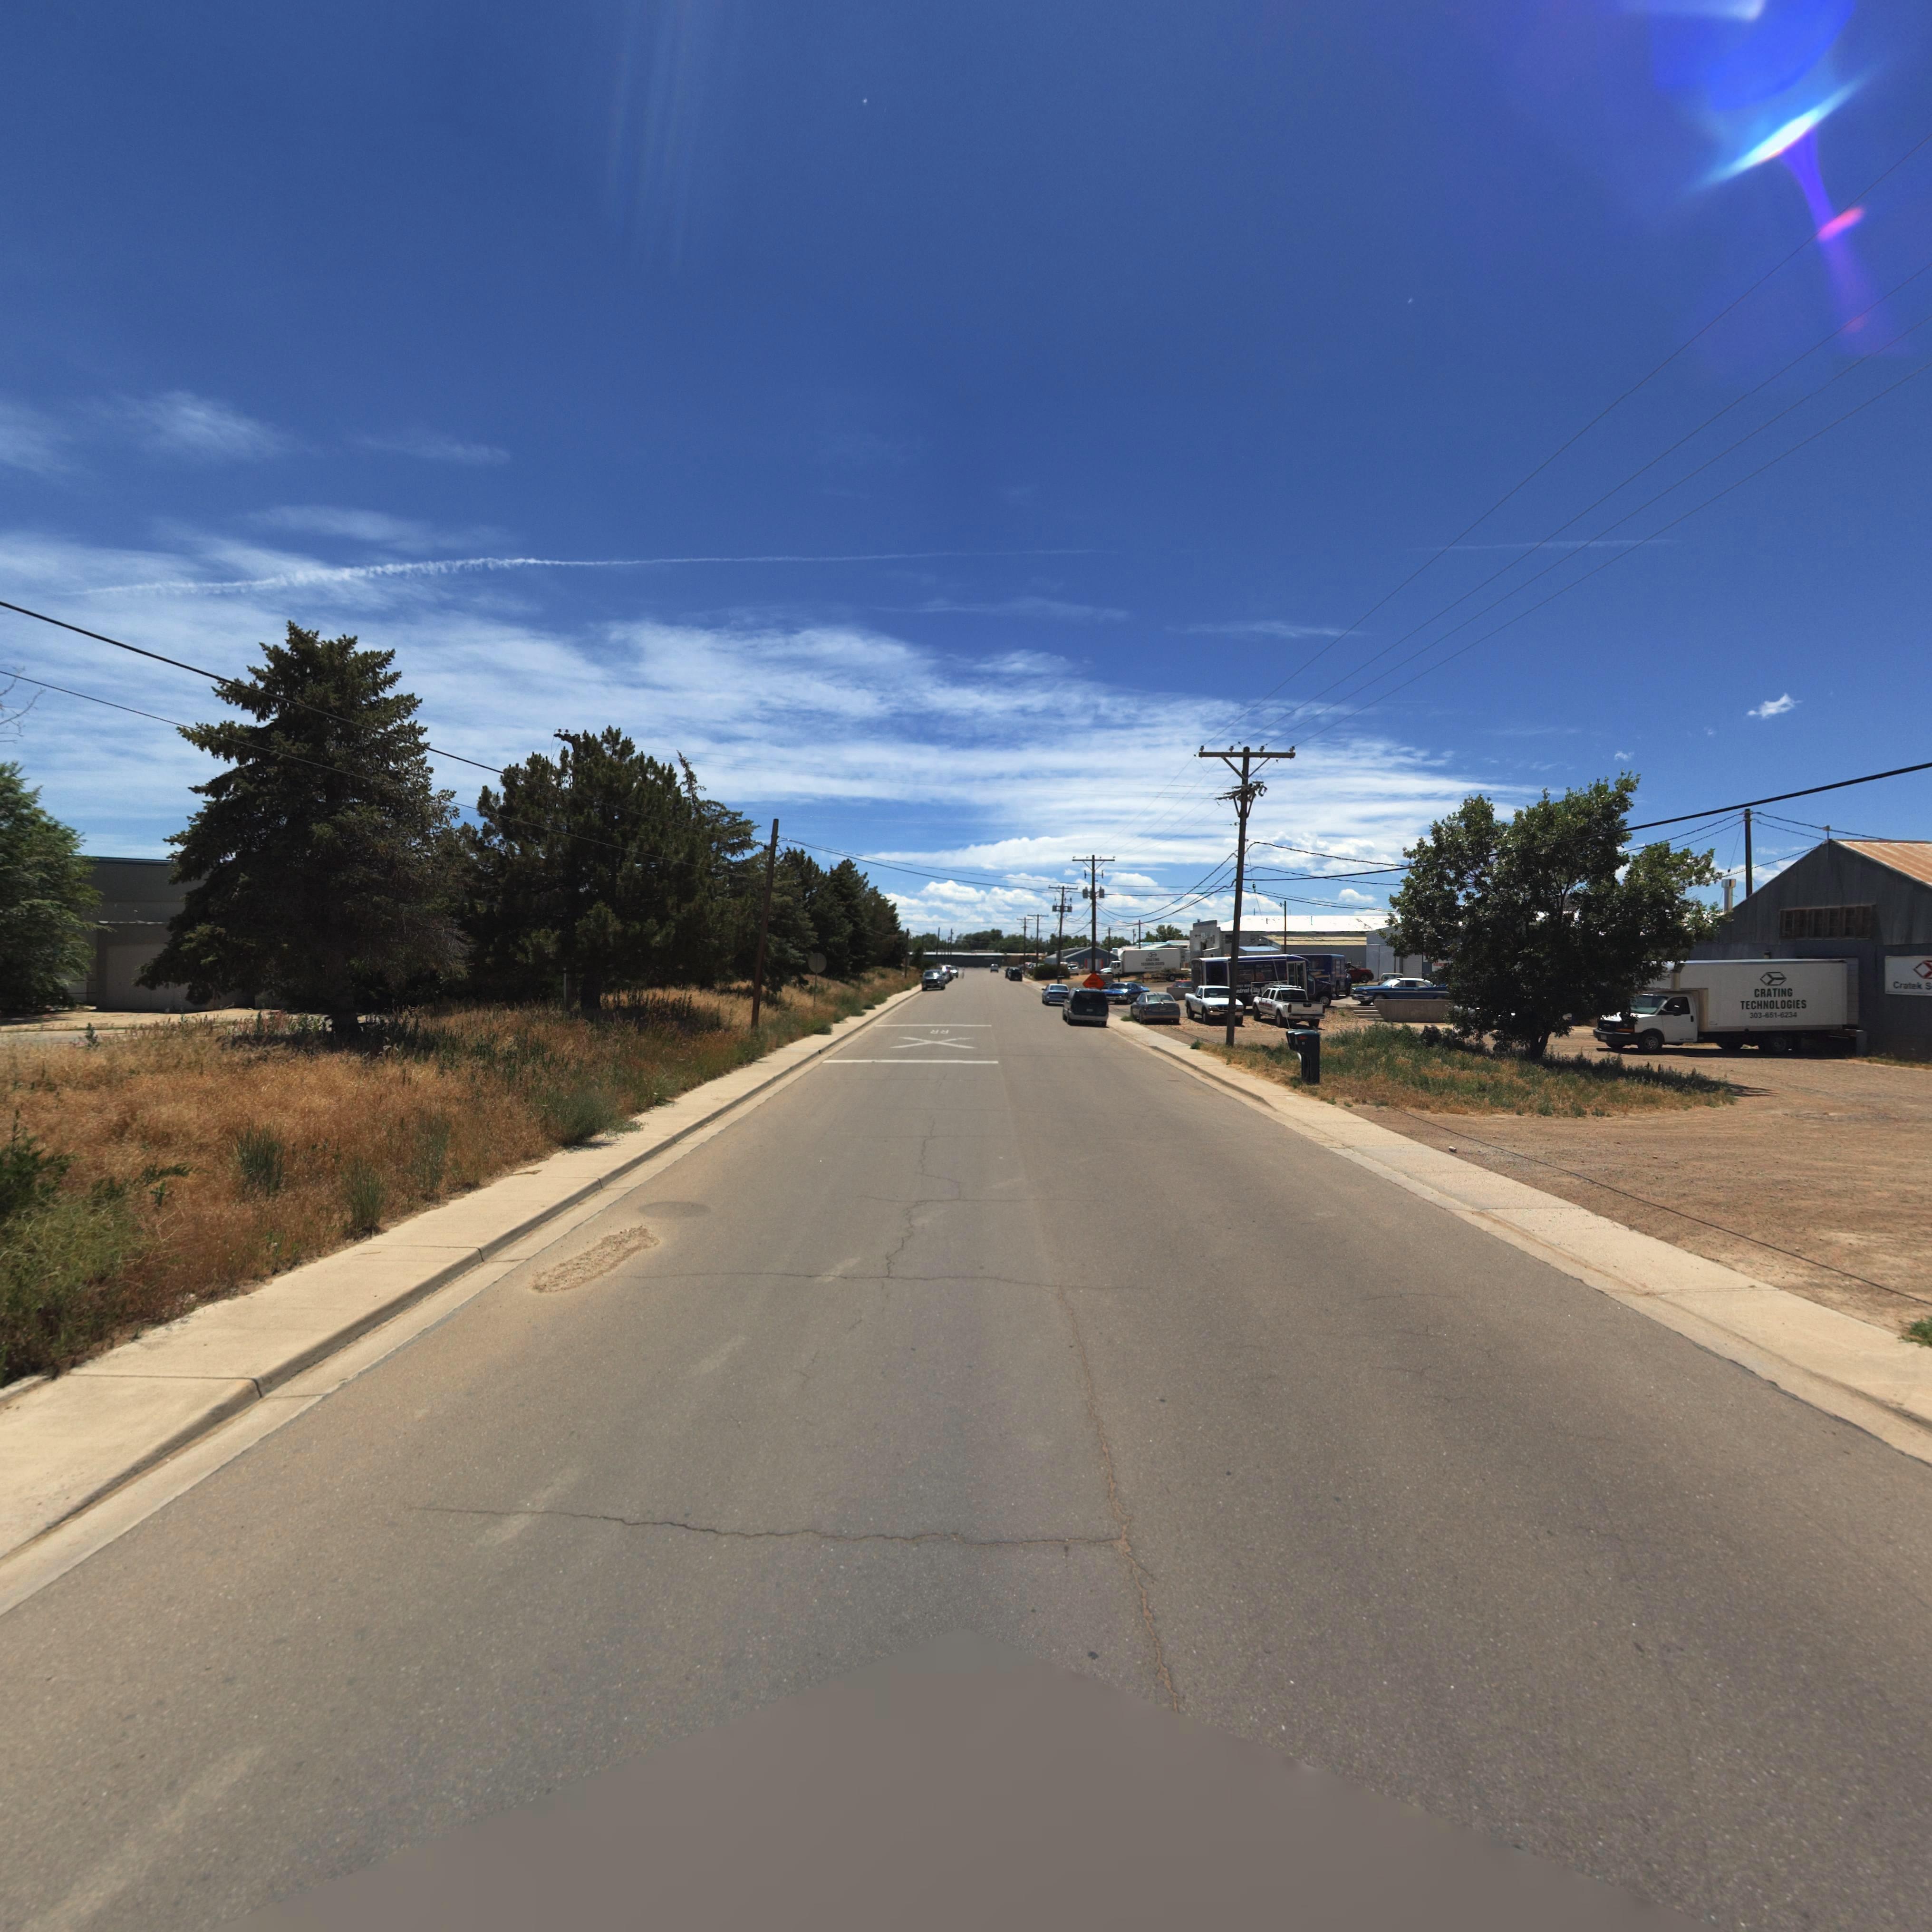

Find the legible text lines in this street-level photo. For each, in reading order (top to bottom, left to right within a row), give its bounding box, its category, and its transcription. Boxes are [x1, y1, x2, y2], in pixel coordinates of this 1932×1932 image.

[1892, 980, 1932, 990] BusinessName: Cratek S